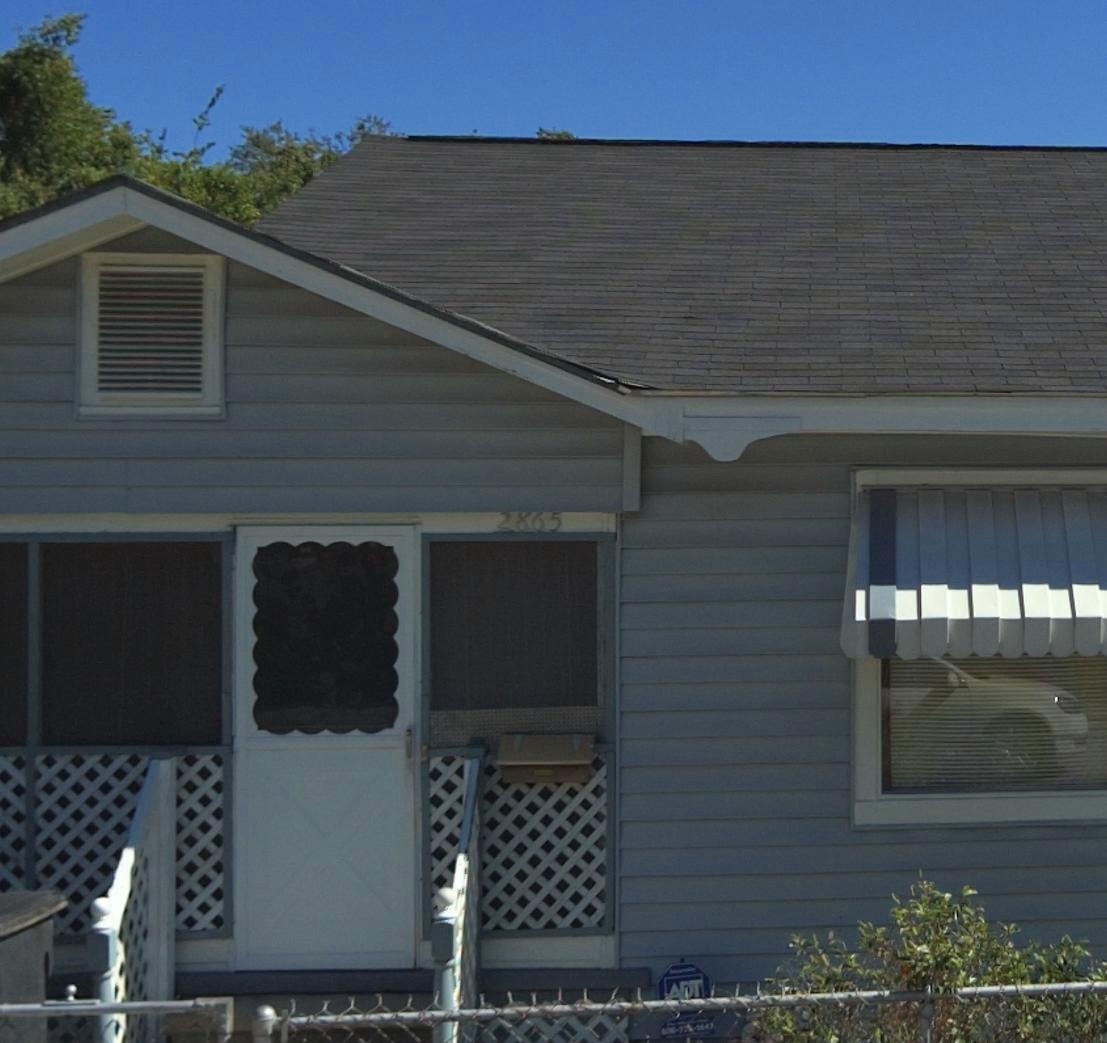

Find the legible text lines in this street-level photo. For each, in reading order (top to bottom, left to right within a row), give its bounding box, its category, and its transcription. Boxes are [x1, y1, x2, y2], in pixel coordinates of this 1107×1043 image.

[496, 510, 564, 532] StreetNumber: 2865
[662, 979, 704, 1000] None: A*T